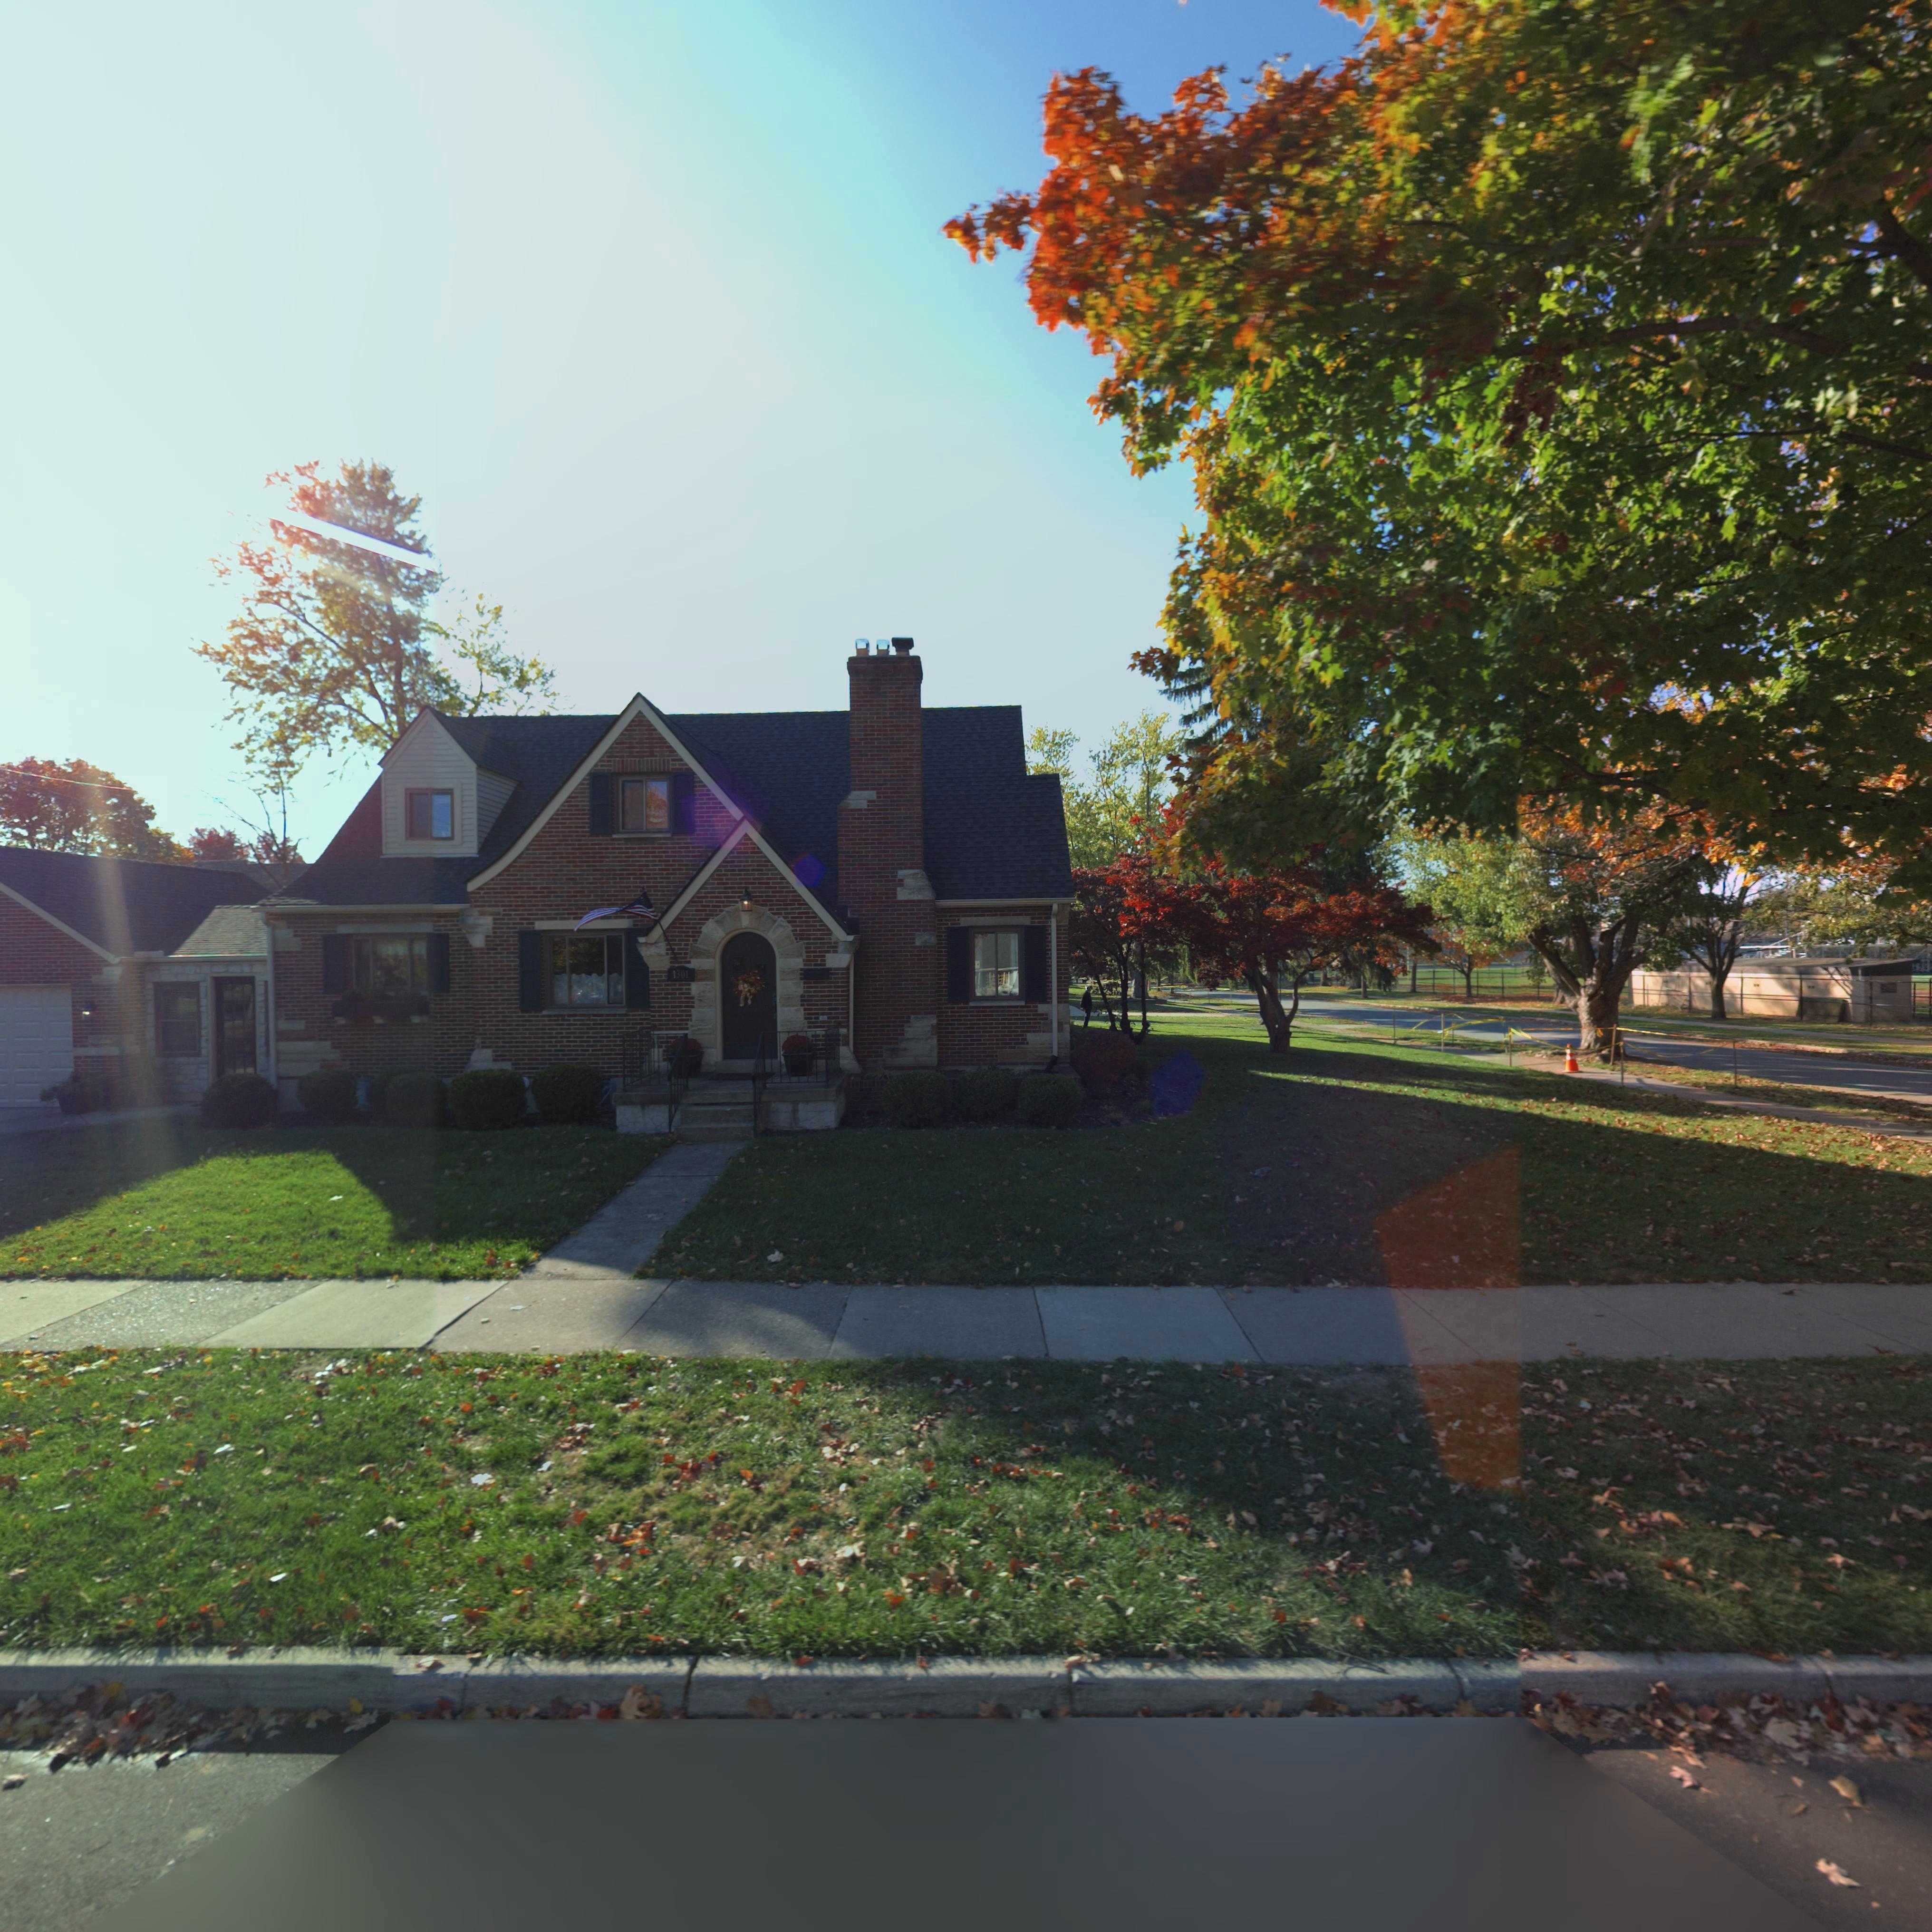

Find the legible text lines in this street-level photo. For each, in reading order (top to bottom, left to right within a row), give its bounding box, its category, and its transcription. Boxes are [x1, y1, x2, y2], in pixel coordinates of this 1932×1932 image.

[672, 969, 688, 979] StreetNumber: 1301